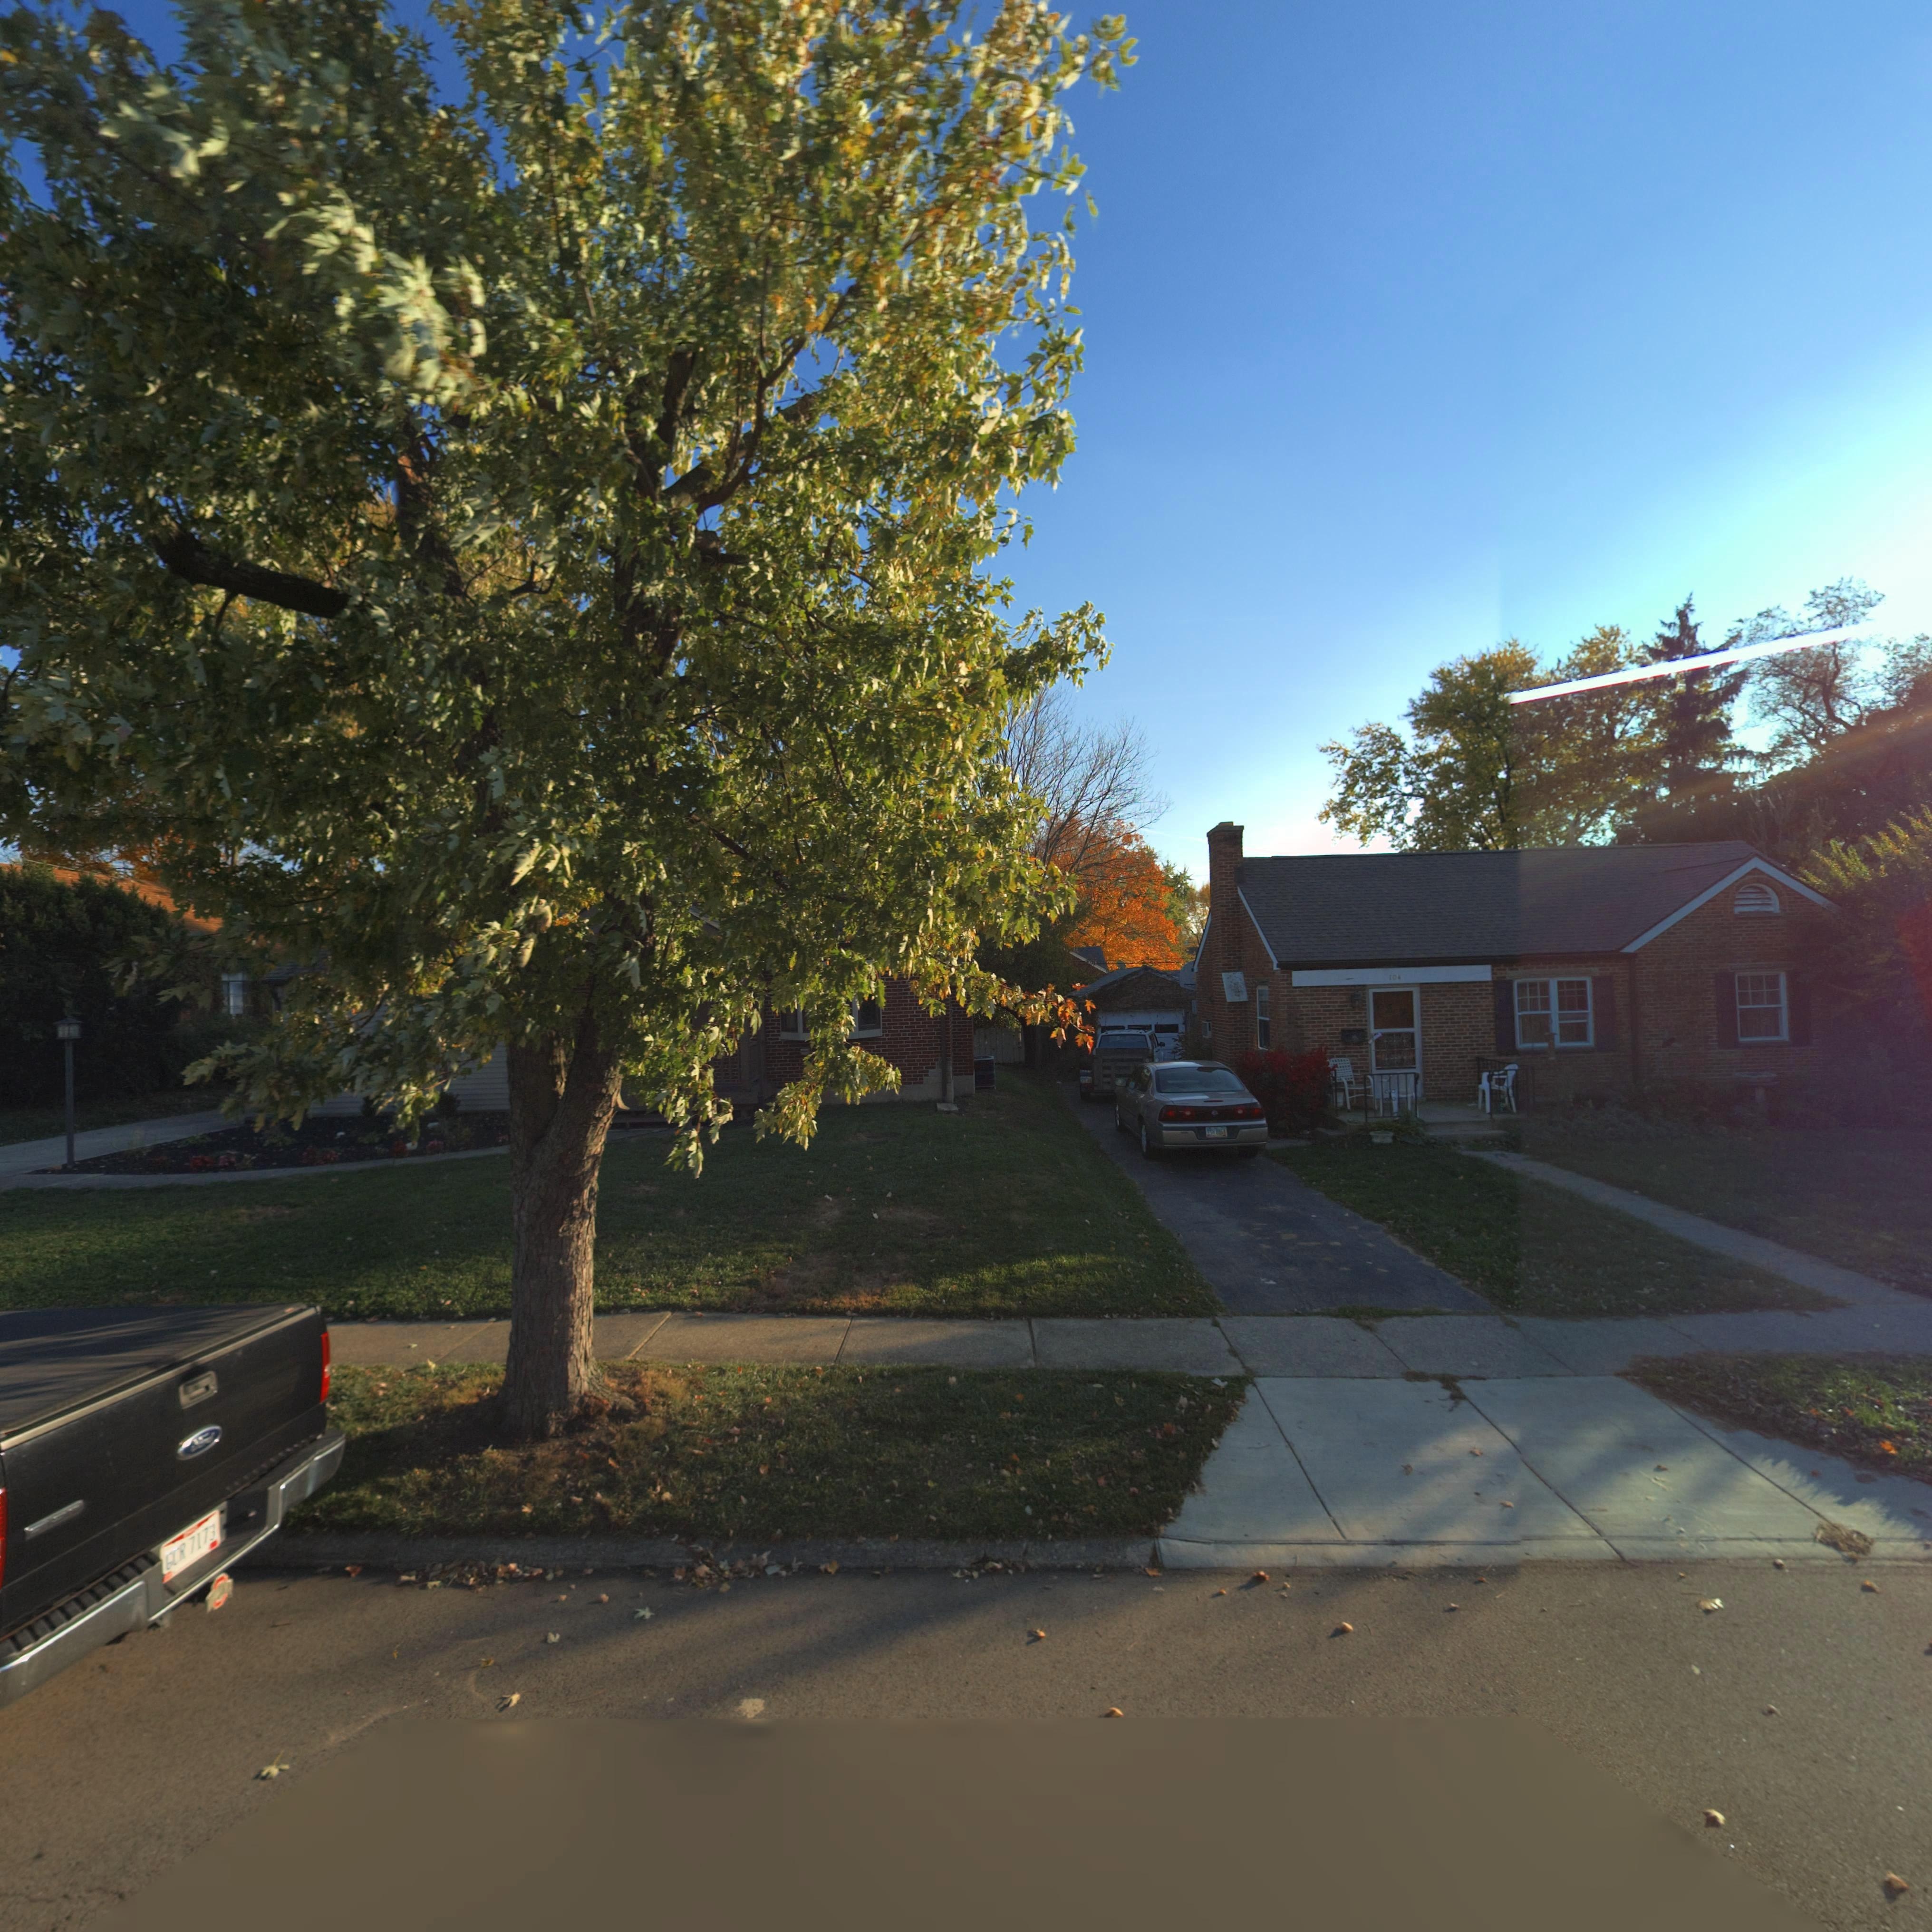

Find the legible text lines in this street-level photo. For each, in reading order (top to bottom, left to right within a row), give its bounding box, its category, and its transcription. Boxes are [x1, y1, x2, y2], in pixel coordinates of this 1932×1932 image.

[1388, 974, 1402, 981] StreetNumber: 104